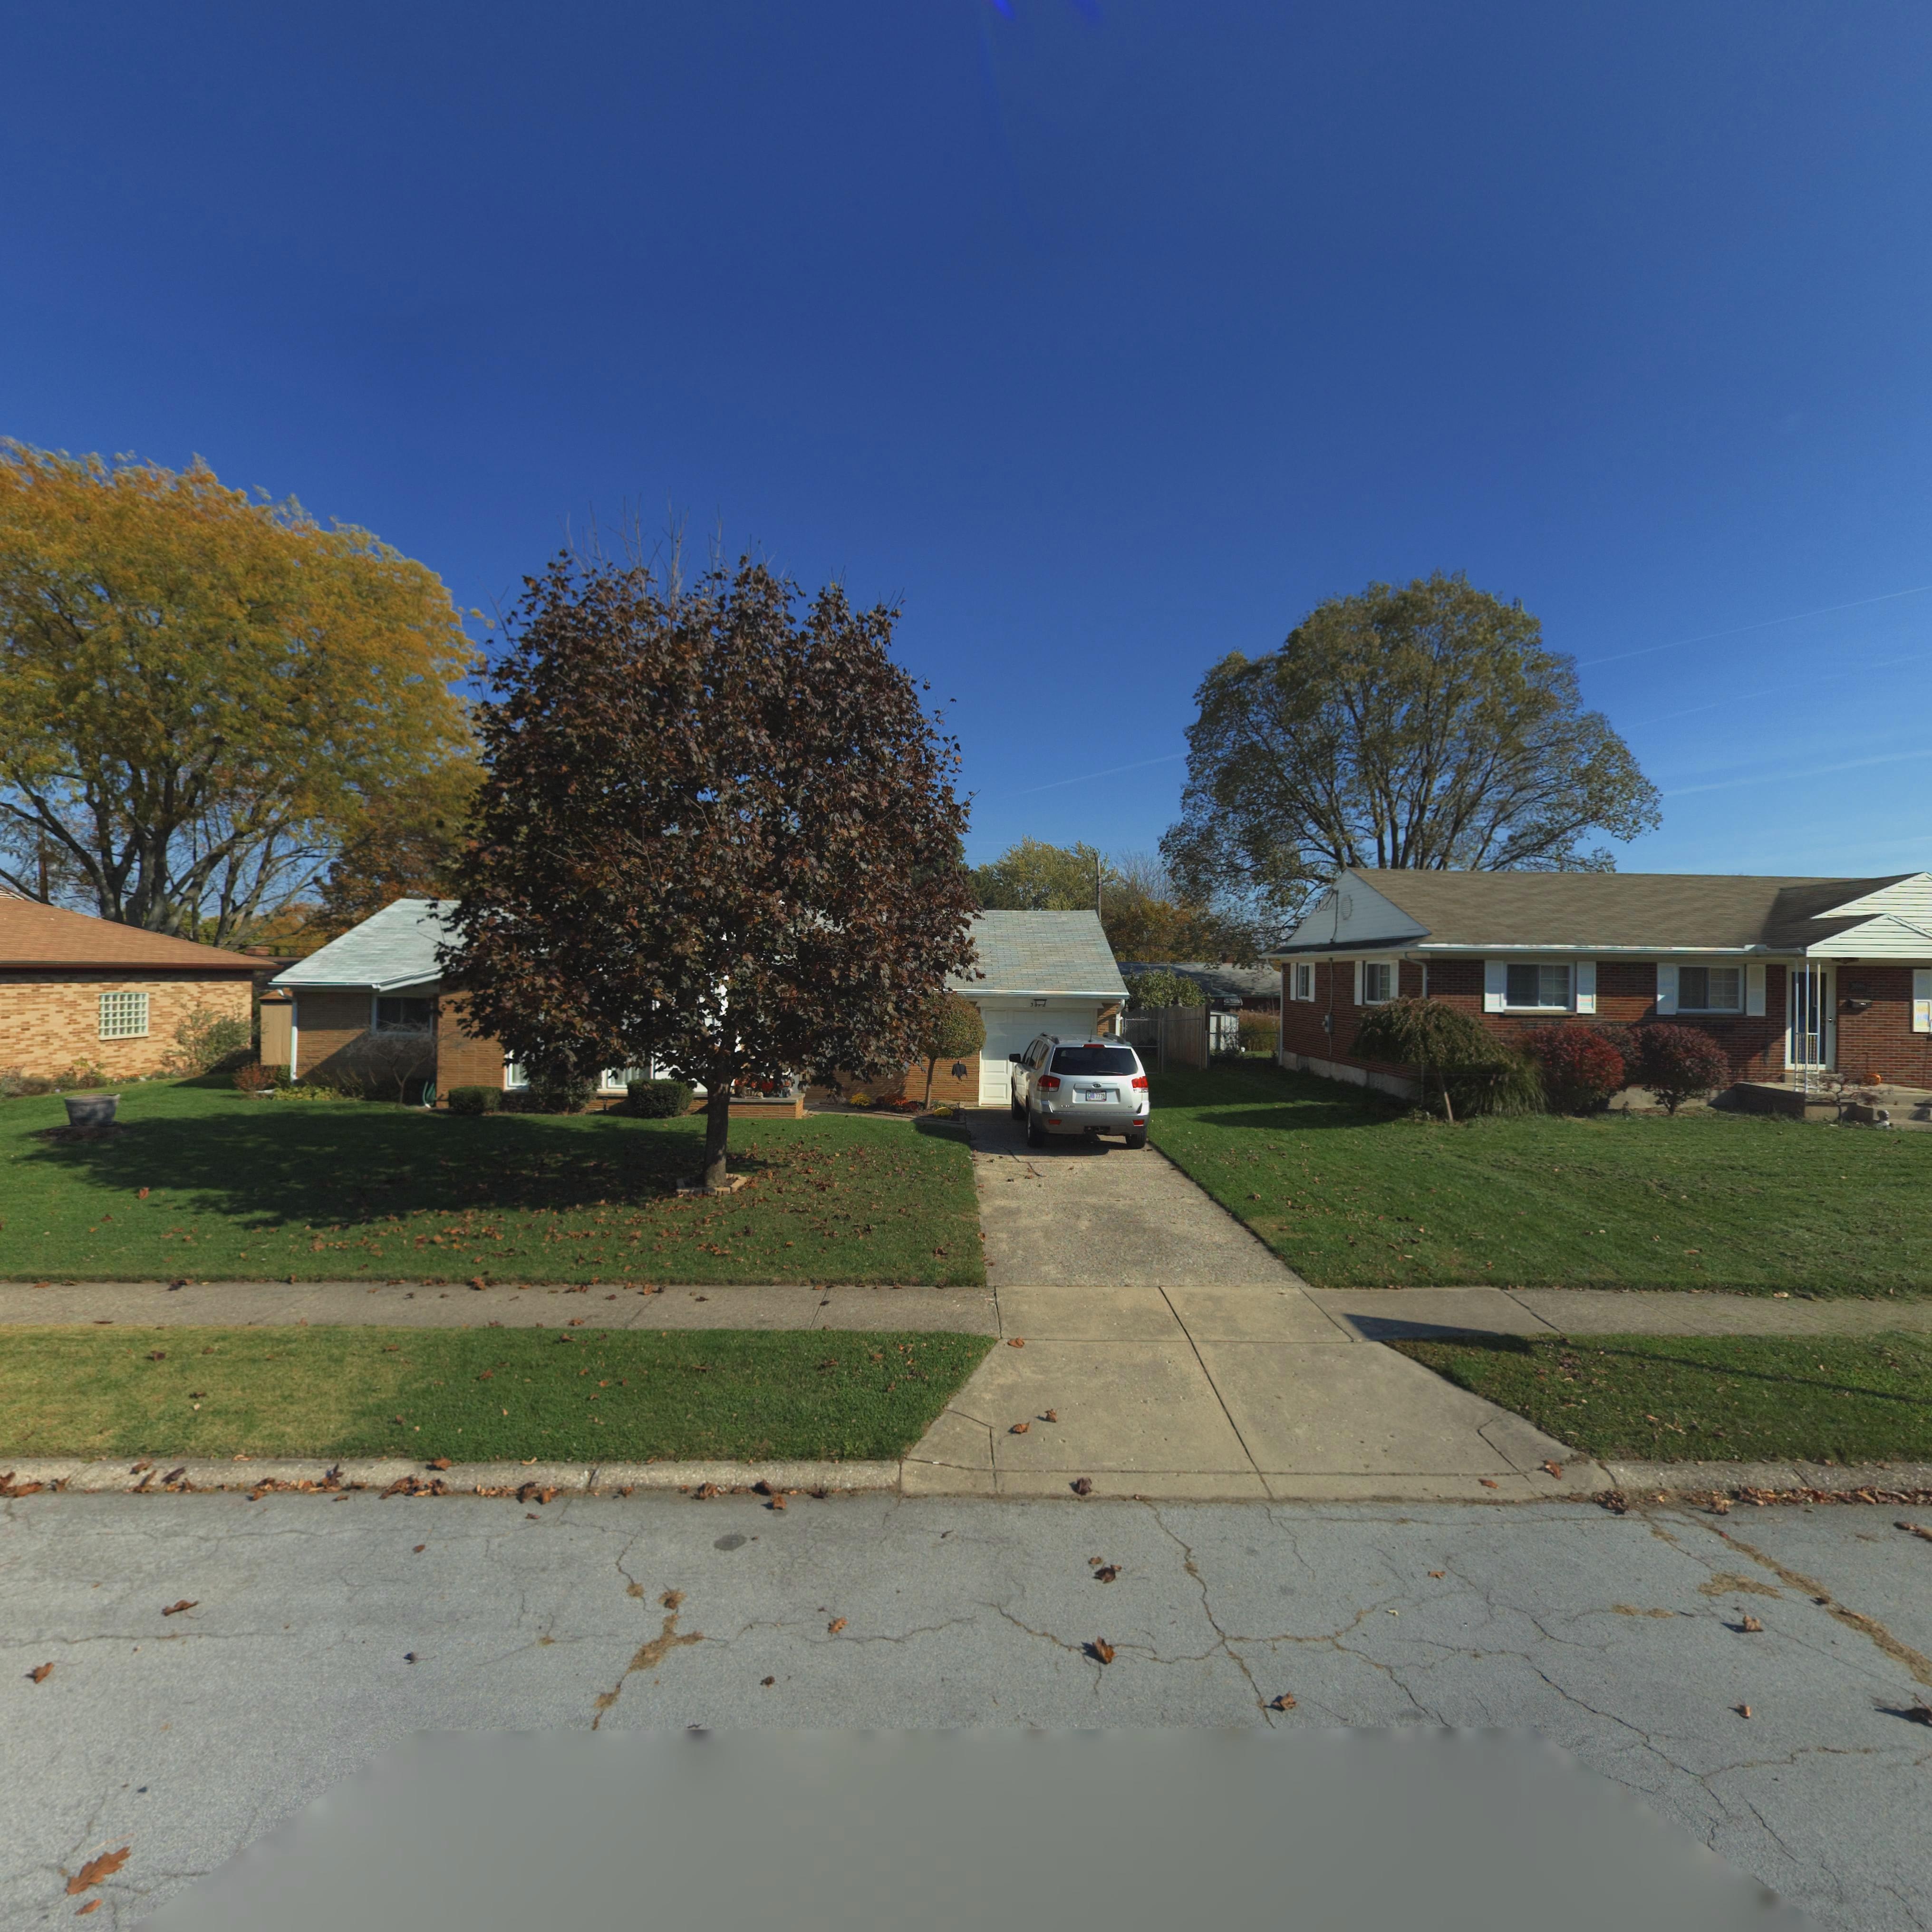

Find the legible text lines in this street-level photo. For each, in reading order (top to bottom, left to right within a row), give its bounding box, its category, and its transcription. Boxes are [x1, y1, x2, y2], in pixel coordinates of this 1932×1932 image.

[1030, 1002, 1034, 1007] StreetNumber: 3
[1088, 1093, 1104, 1098] None: *** 7779